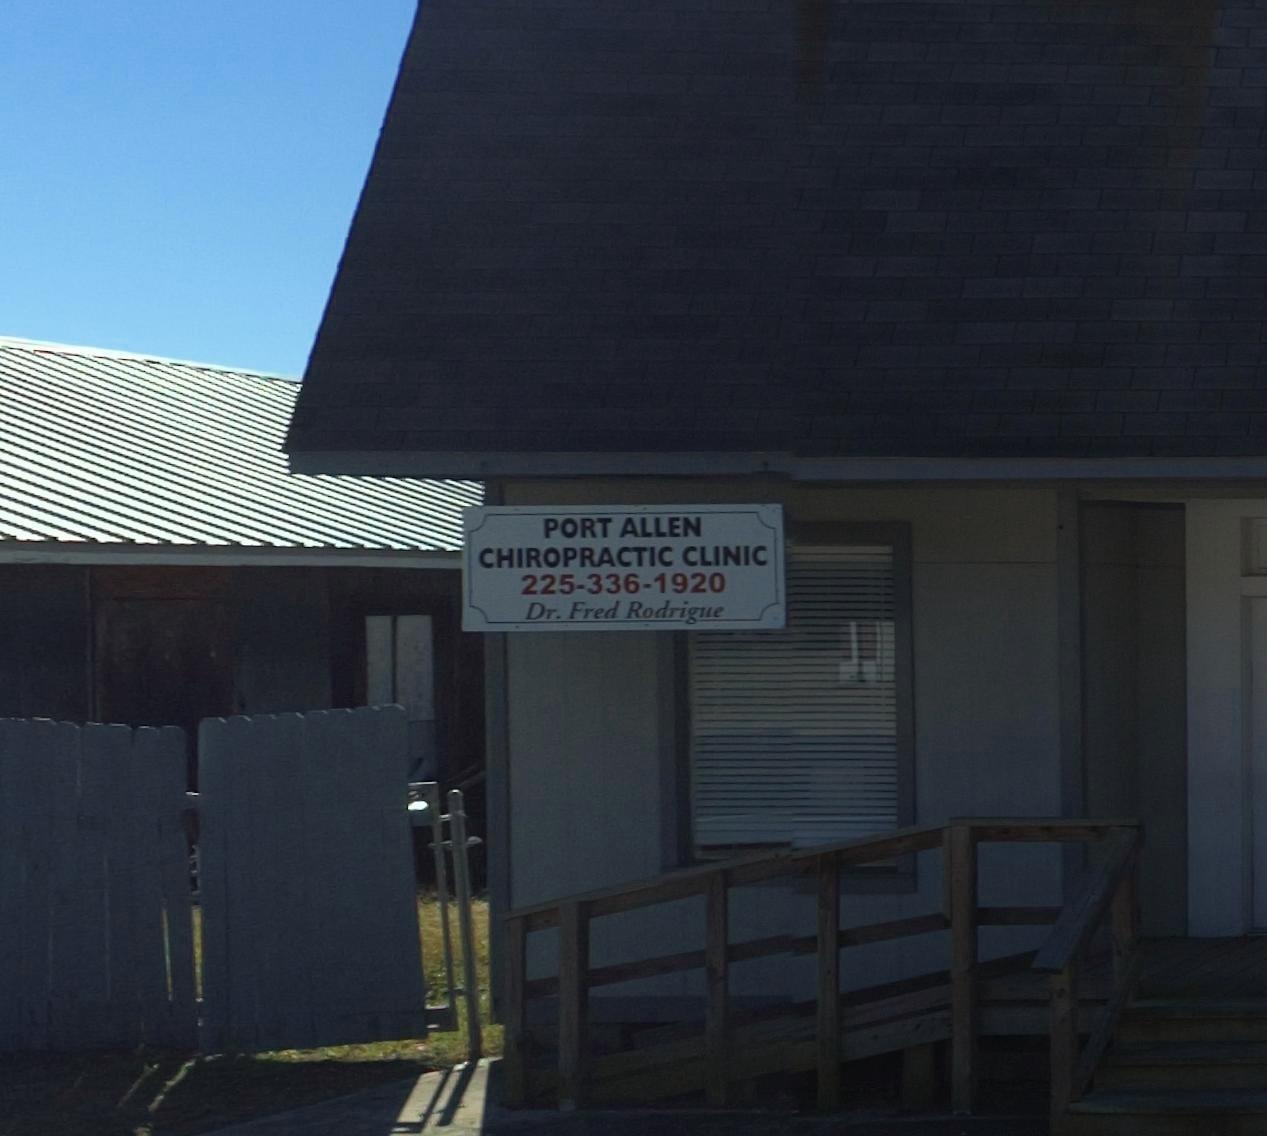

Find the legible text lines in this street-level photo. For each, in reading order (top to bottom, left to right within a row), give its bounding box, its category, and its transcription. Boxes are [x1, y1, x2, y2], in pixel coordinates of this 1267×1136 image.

[542, 516, 702, 539] BusinessName: PORT ALLEN
[478, 544, 769, 570] BusinessName: CHIROPRACTIC CLINC
[518, 571, 727, 596] None: 225-336-1920
[524, 598, 724, 624] None: Dr. Fred Rodrigue